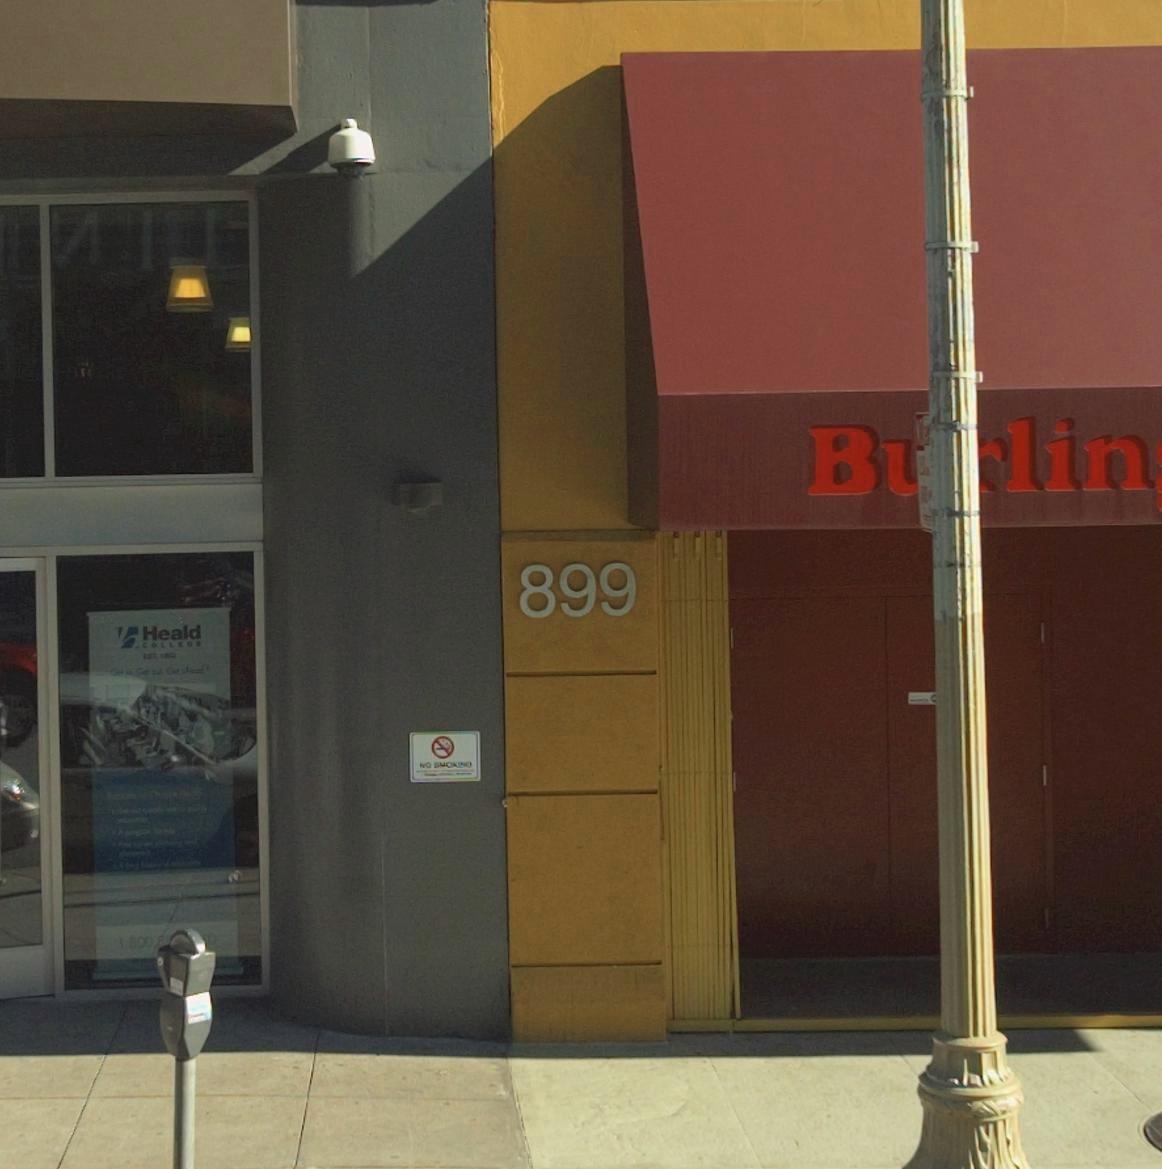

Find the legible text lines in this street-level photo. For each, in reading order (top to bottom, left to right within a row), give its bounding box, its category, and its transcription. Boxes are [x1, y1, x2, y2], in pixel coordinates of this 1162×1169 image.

[801, 415, 1152, 499] BusinessName: B**lin
[517, 560, 639, 620] StreetNumber: 899
[141, 623, 203, 642] None: Heald
[141, 640, 203, 649] None: COLLEGE
[418, 761, 473, 769] None: NO SMOKING